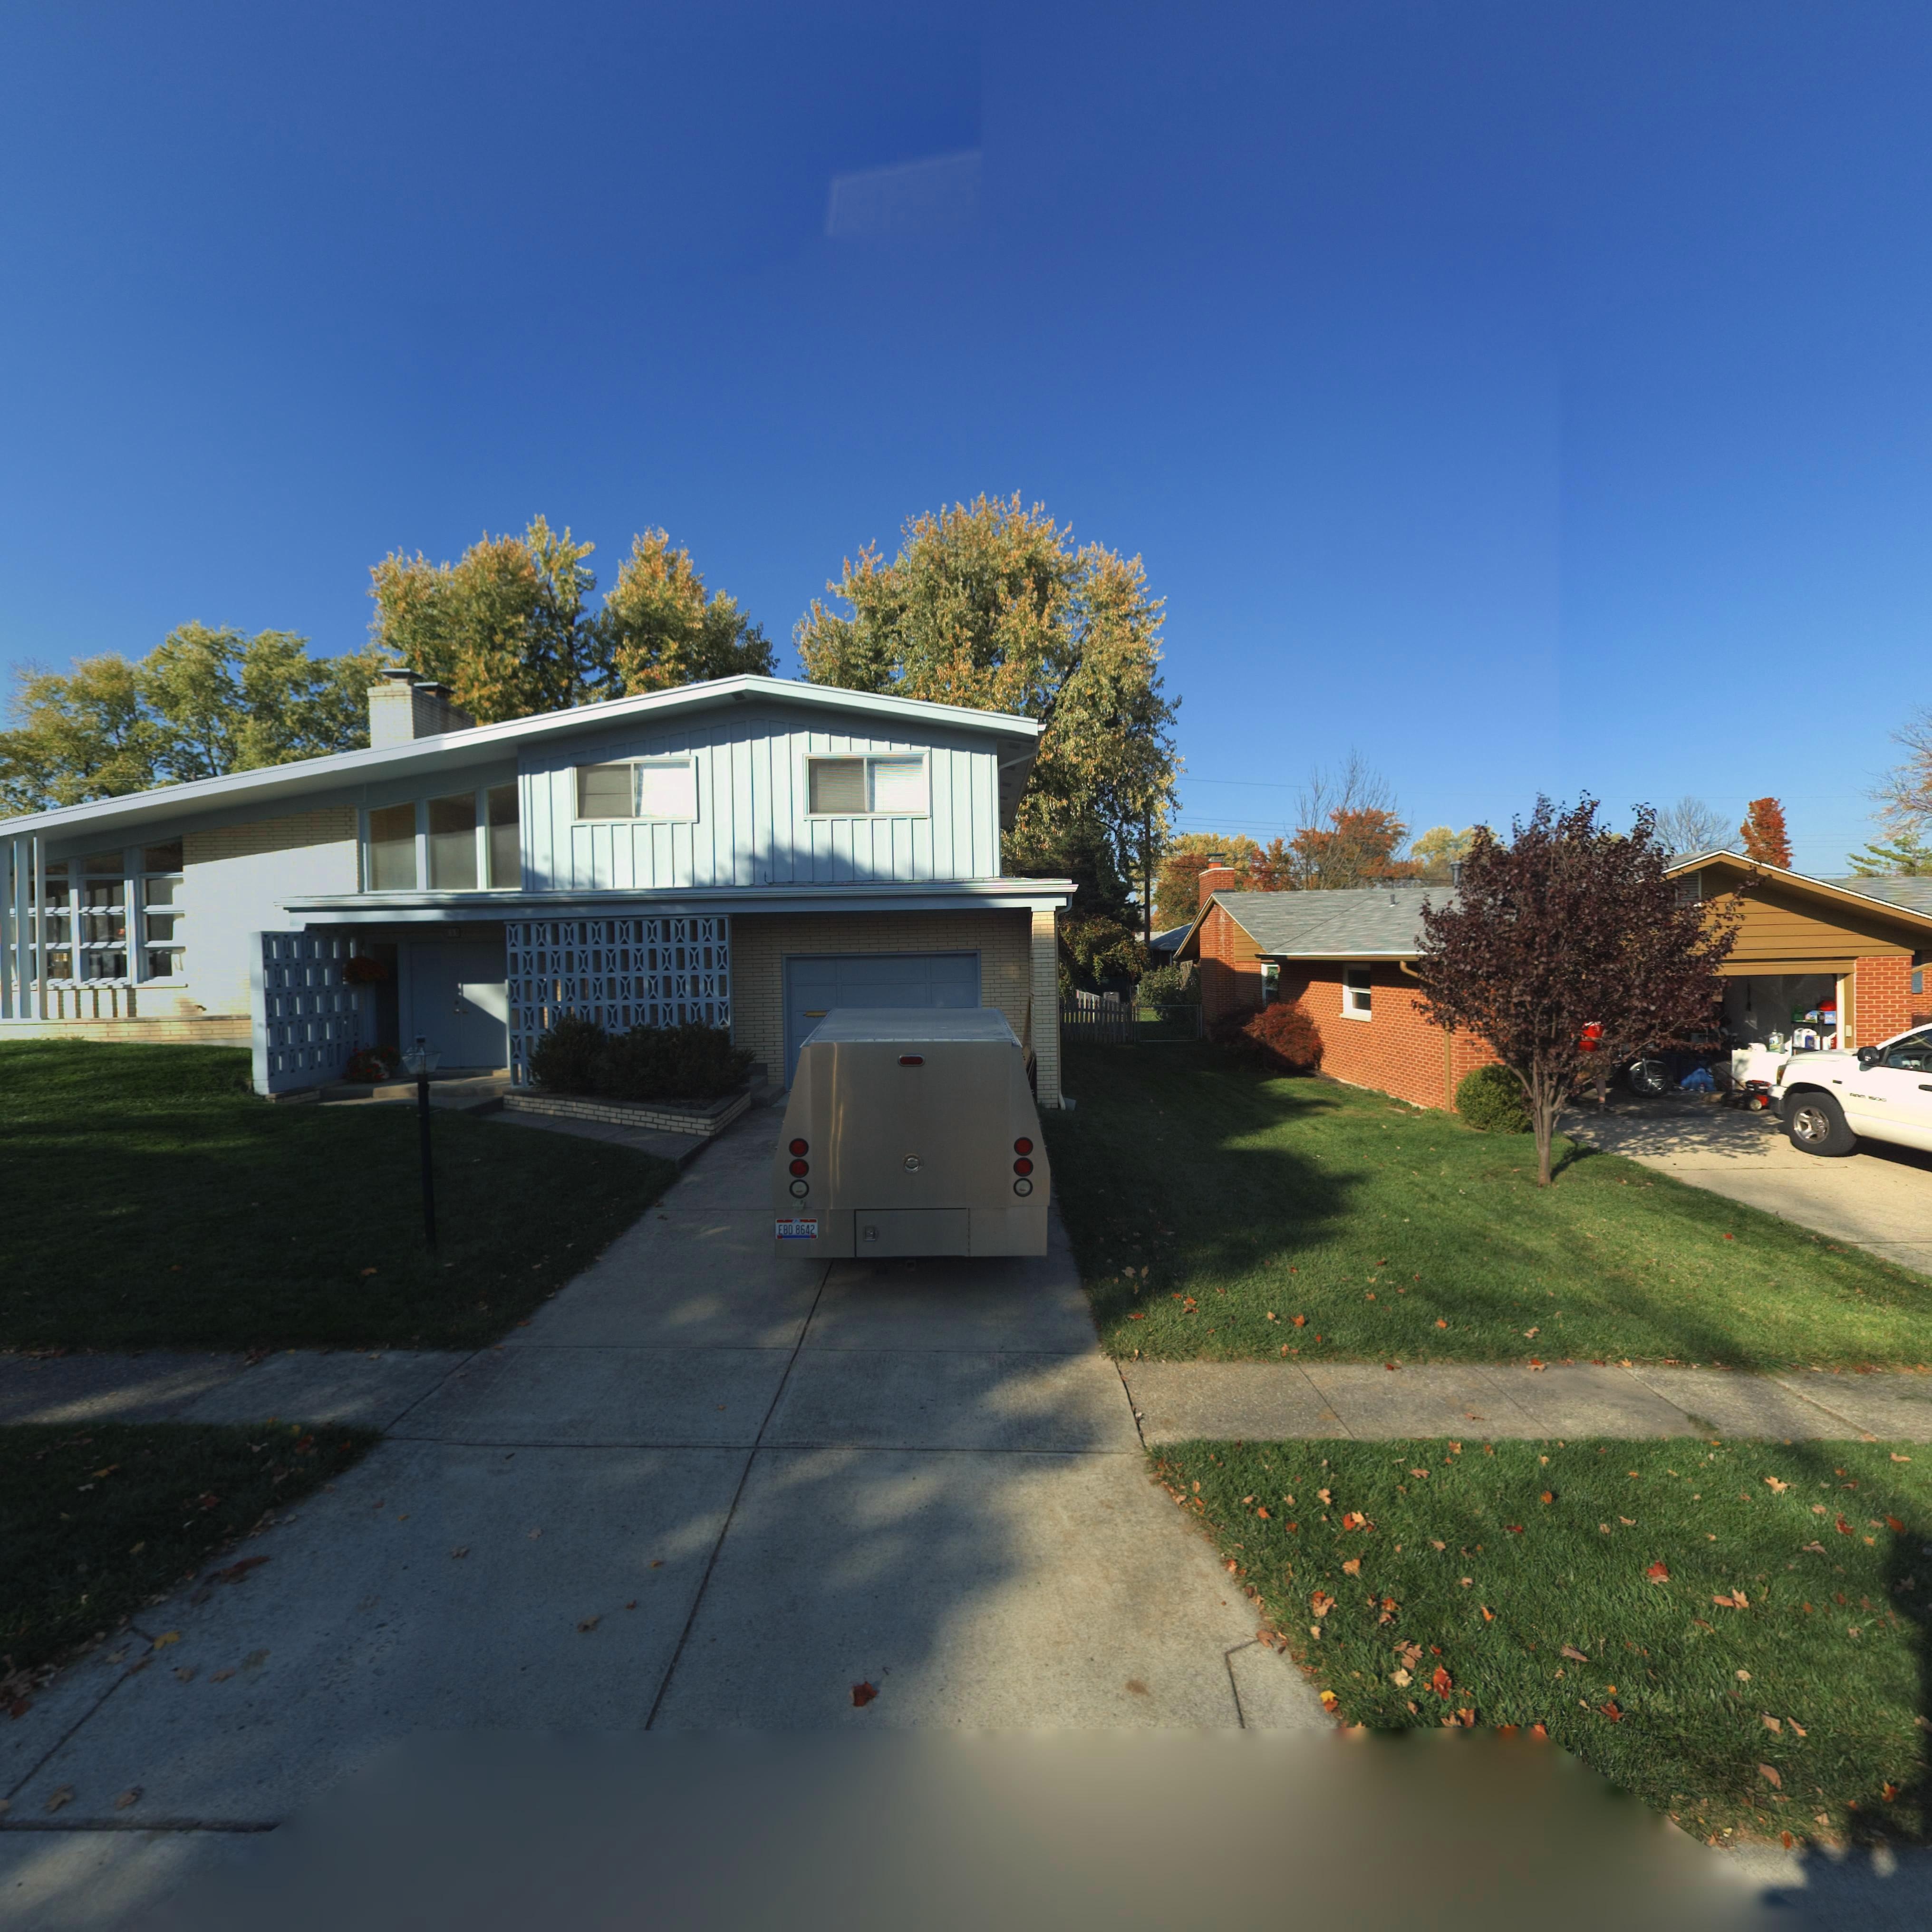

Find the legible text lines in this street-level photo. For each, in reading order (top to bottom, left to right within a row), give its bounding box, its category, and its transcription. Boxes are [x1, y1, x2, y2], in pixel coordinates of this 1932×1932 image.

[444, 928, 460, 937] StreetNumber: **5